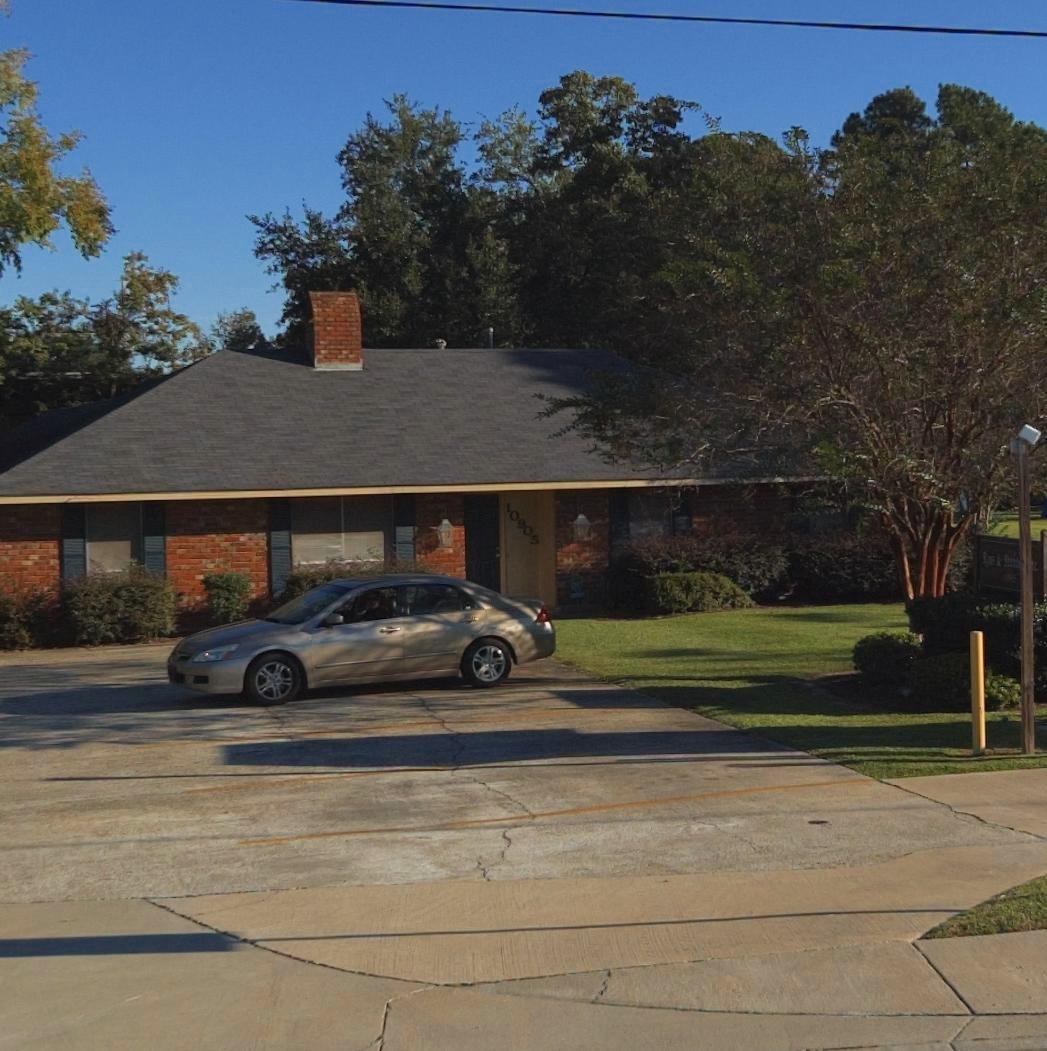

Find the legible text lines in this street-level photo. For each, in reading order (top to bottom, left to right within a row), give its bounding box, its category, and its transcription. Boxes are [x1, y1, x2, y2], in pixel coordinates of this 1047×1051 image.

[504, 500, 541, 547] StreetNumber: 10905